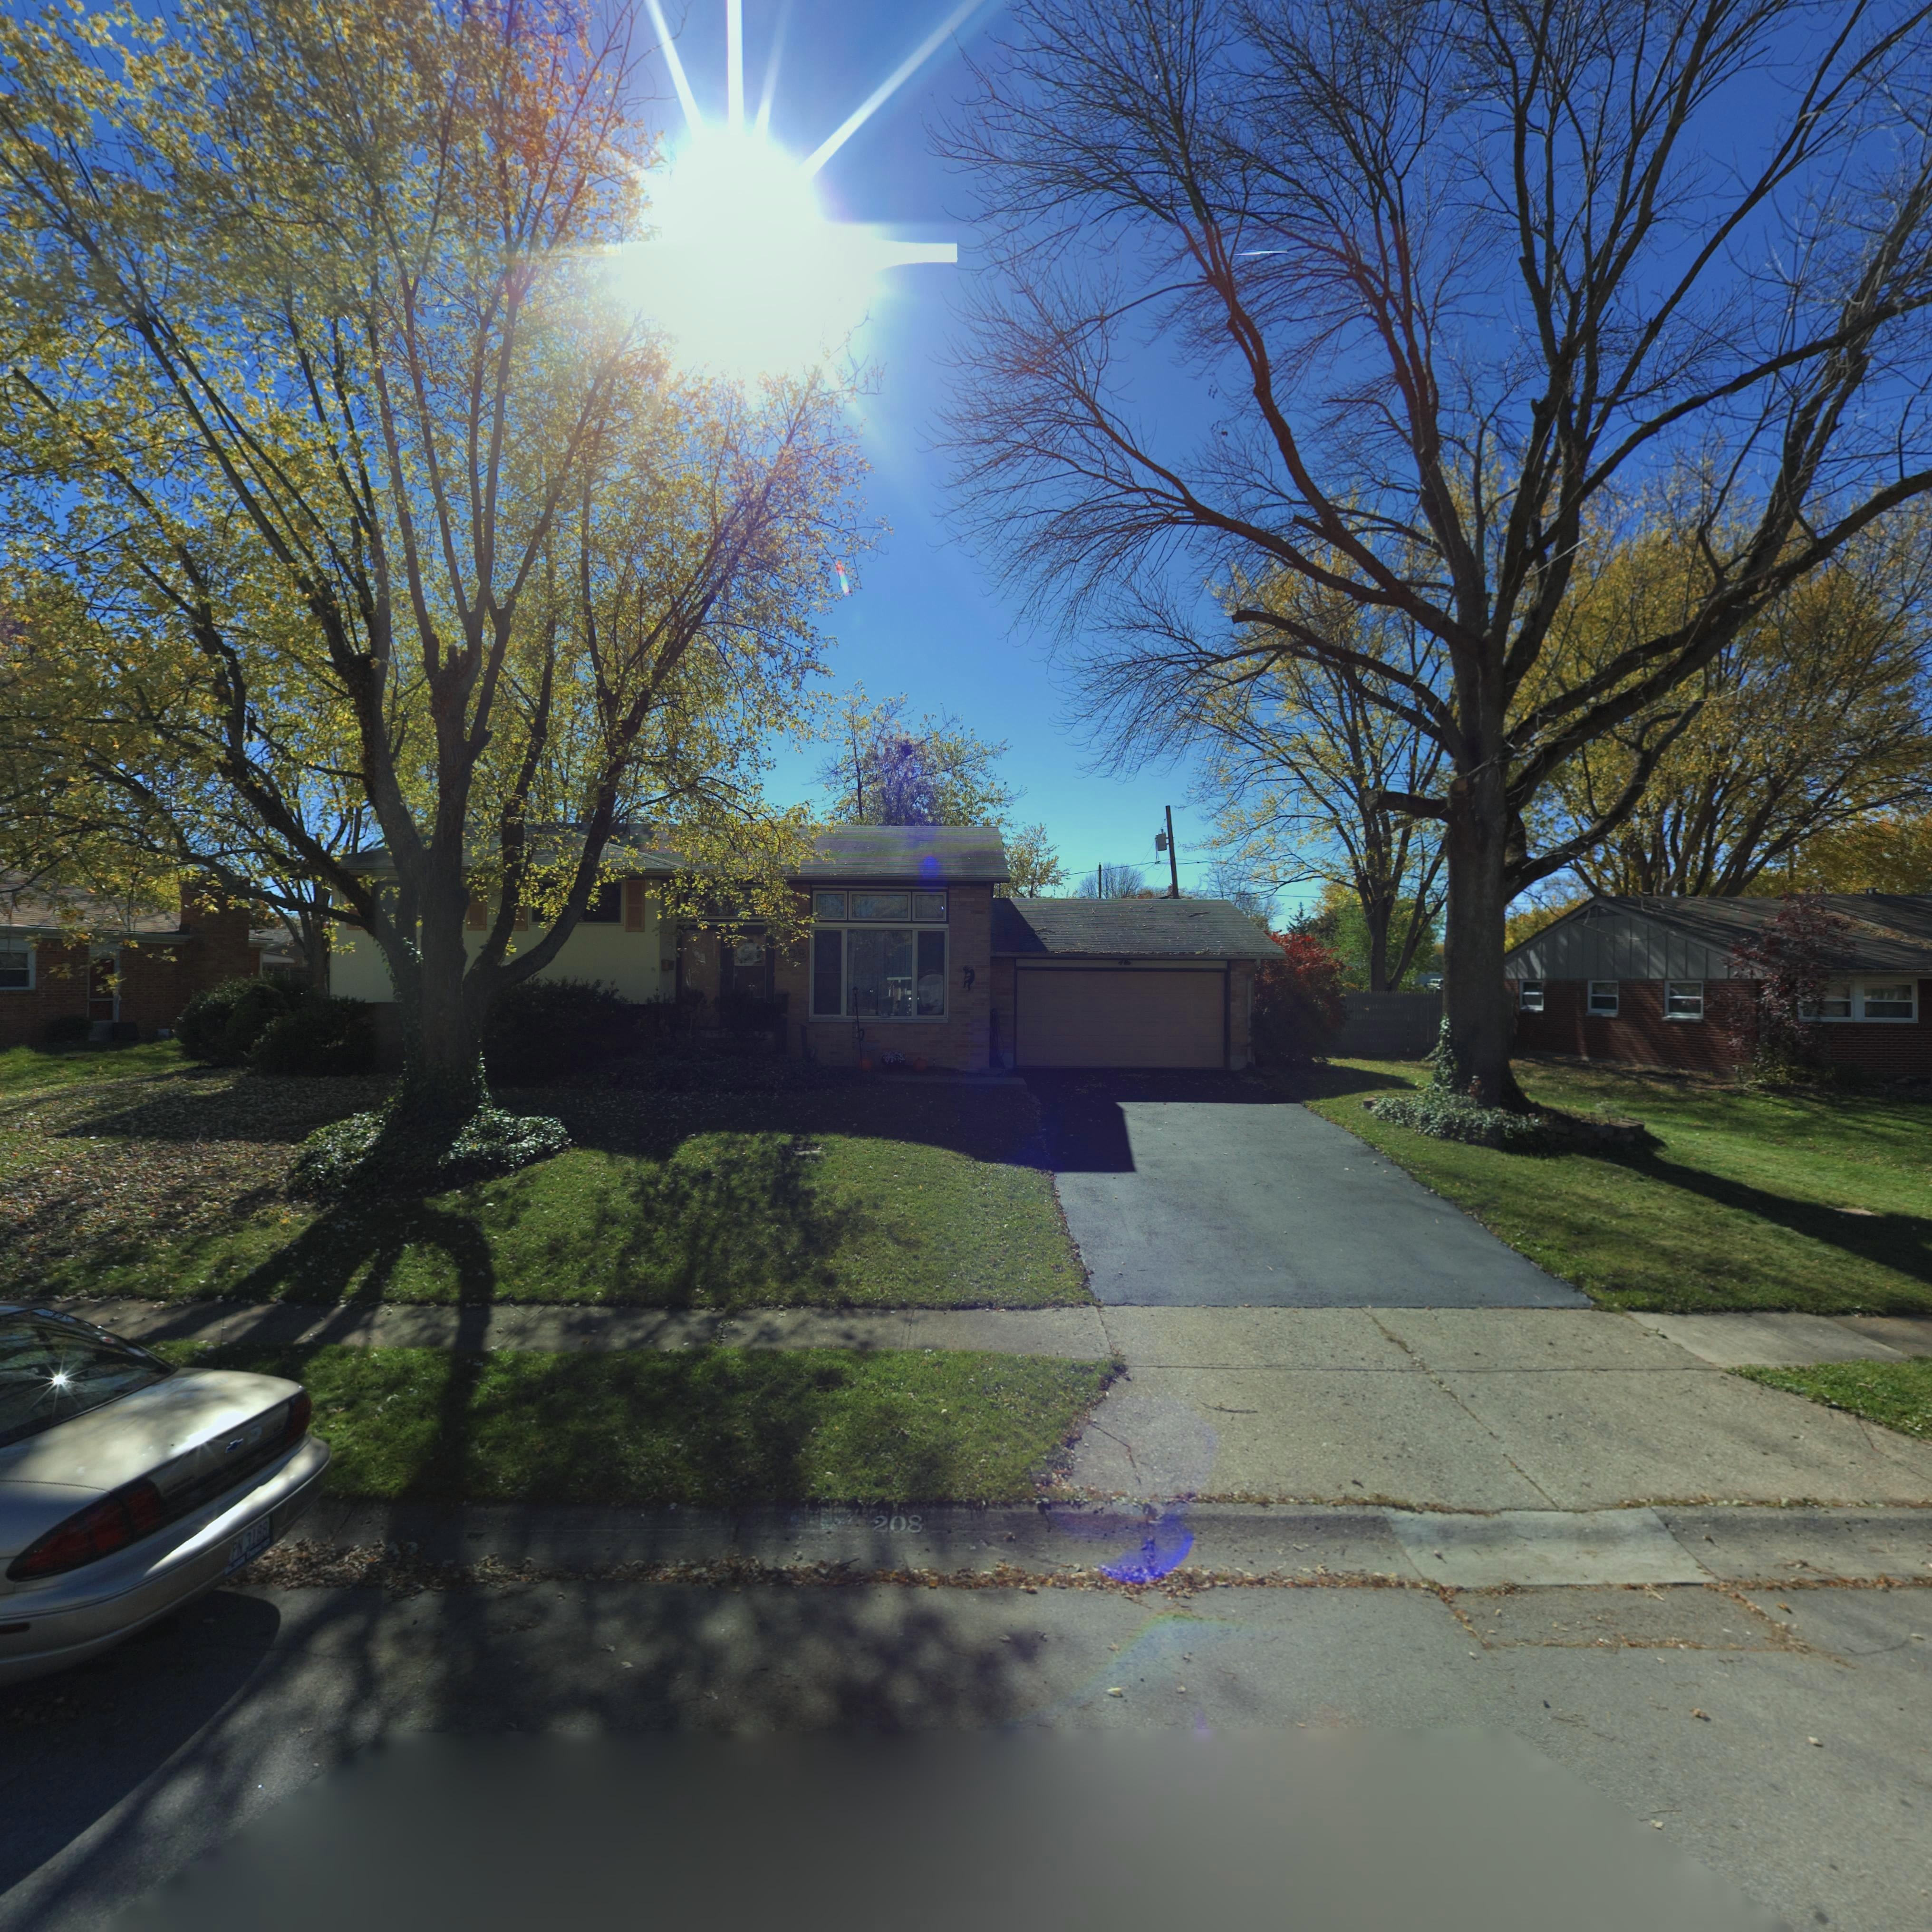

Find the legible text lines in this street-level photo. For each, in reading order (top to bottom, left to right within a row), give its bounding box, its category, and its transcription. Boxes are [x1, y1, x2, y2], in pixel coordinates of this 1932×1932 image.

[778, 947, 807, 960] StreetNumber: **8
[870, 1513, 924, 1535] StreetNumber: 208